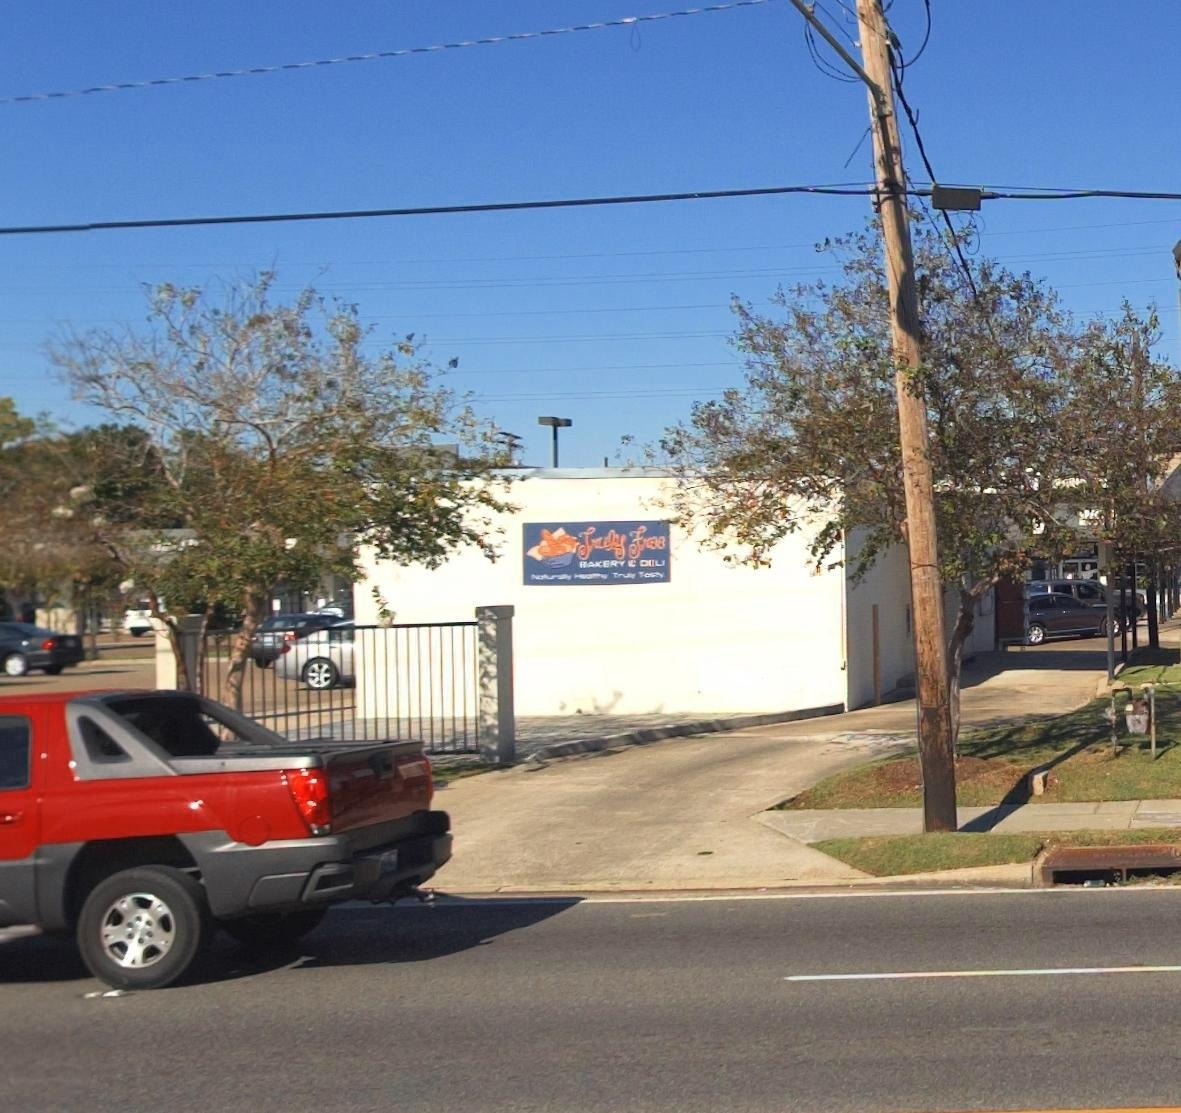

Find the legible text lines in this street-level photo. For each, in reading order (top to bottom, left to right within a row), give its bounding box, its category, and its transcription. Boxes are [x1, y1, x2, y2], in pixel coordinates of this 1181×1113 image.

[577, 523, 667, 561] BusinessName: Judy Free
[578, 559, 626, 569] None: BAKERY
[530, 570, 666, 581] None: Naturally Healty Truly Tasty